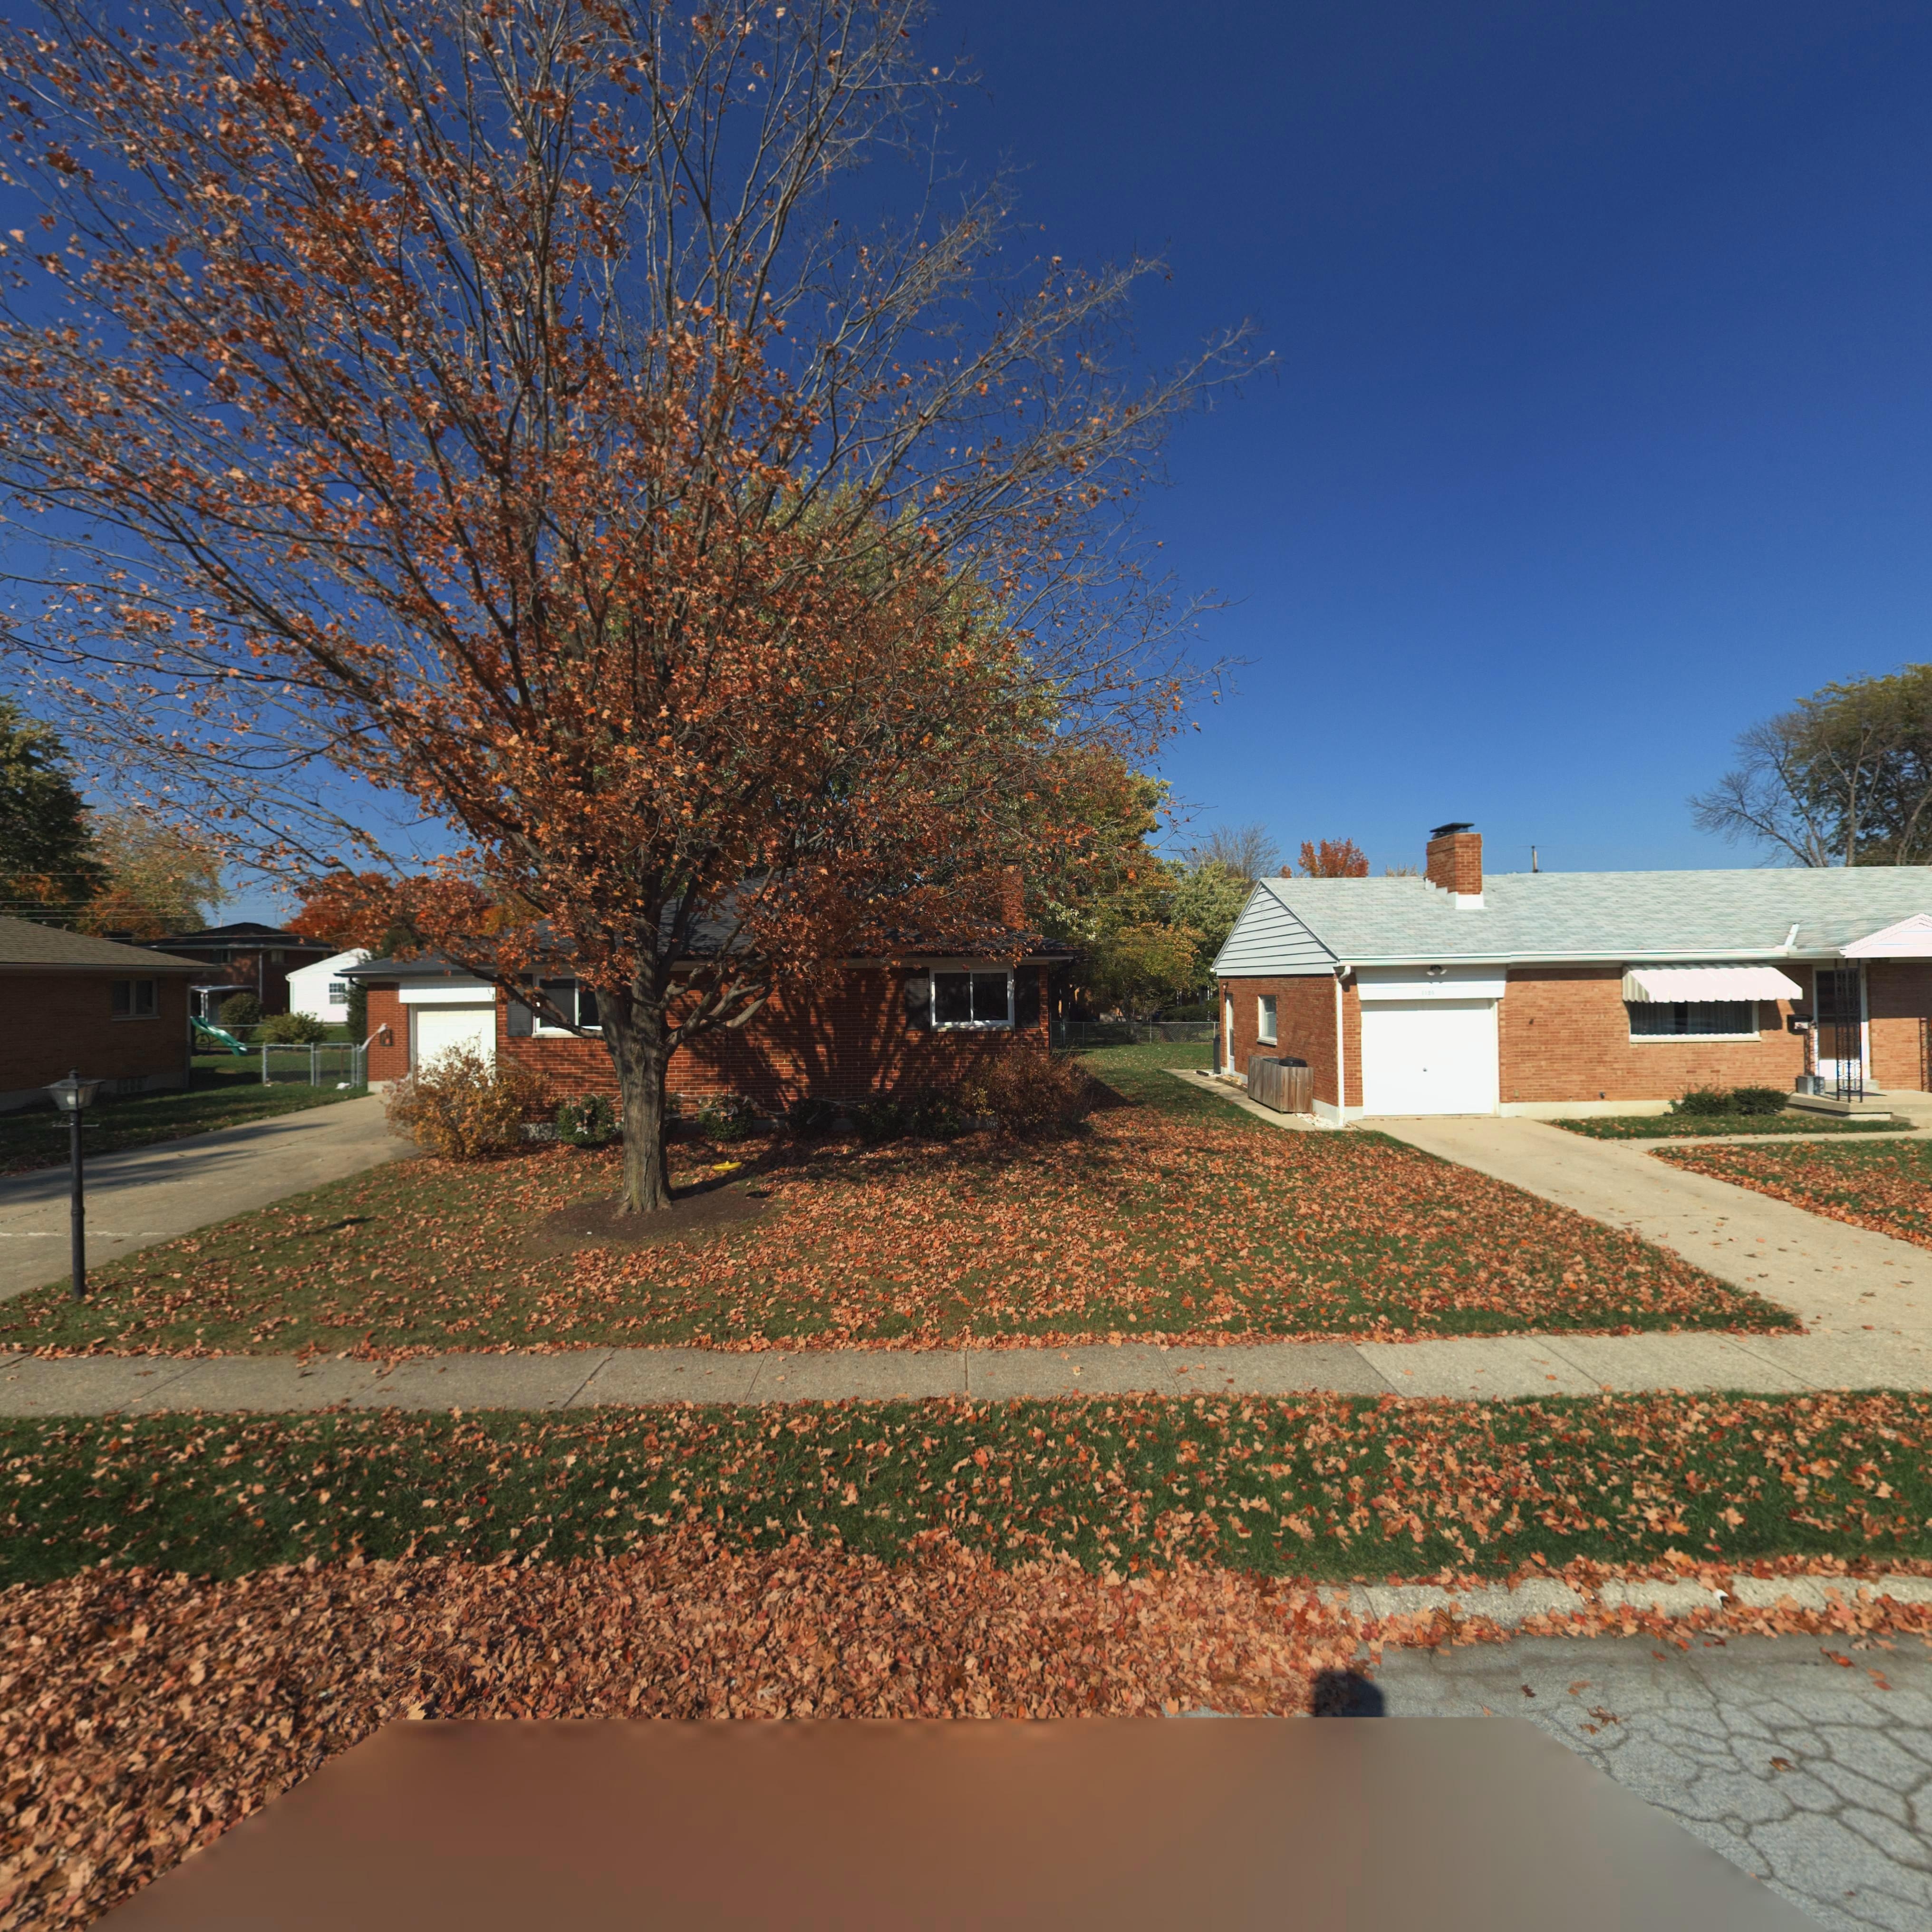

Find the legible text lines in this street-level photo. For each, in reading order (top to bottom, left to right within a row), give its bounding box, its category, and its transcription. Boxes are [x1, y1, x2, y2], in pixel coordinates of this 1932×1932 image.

[1421, 990, 1434, 996] StreetNumber: 1125